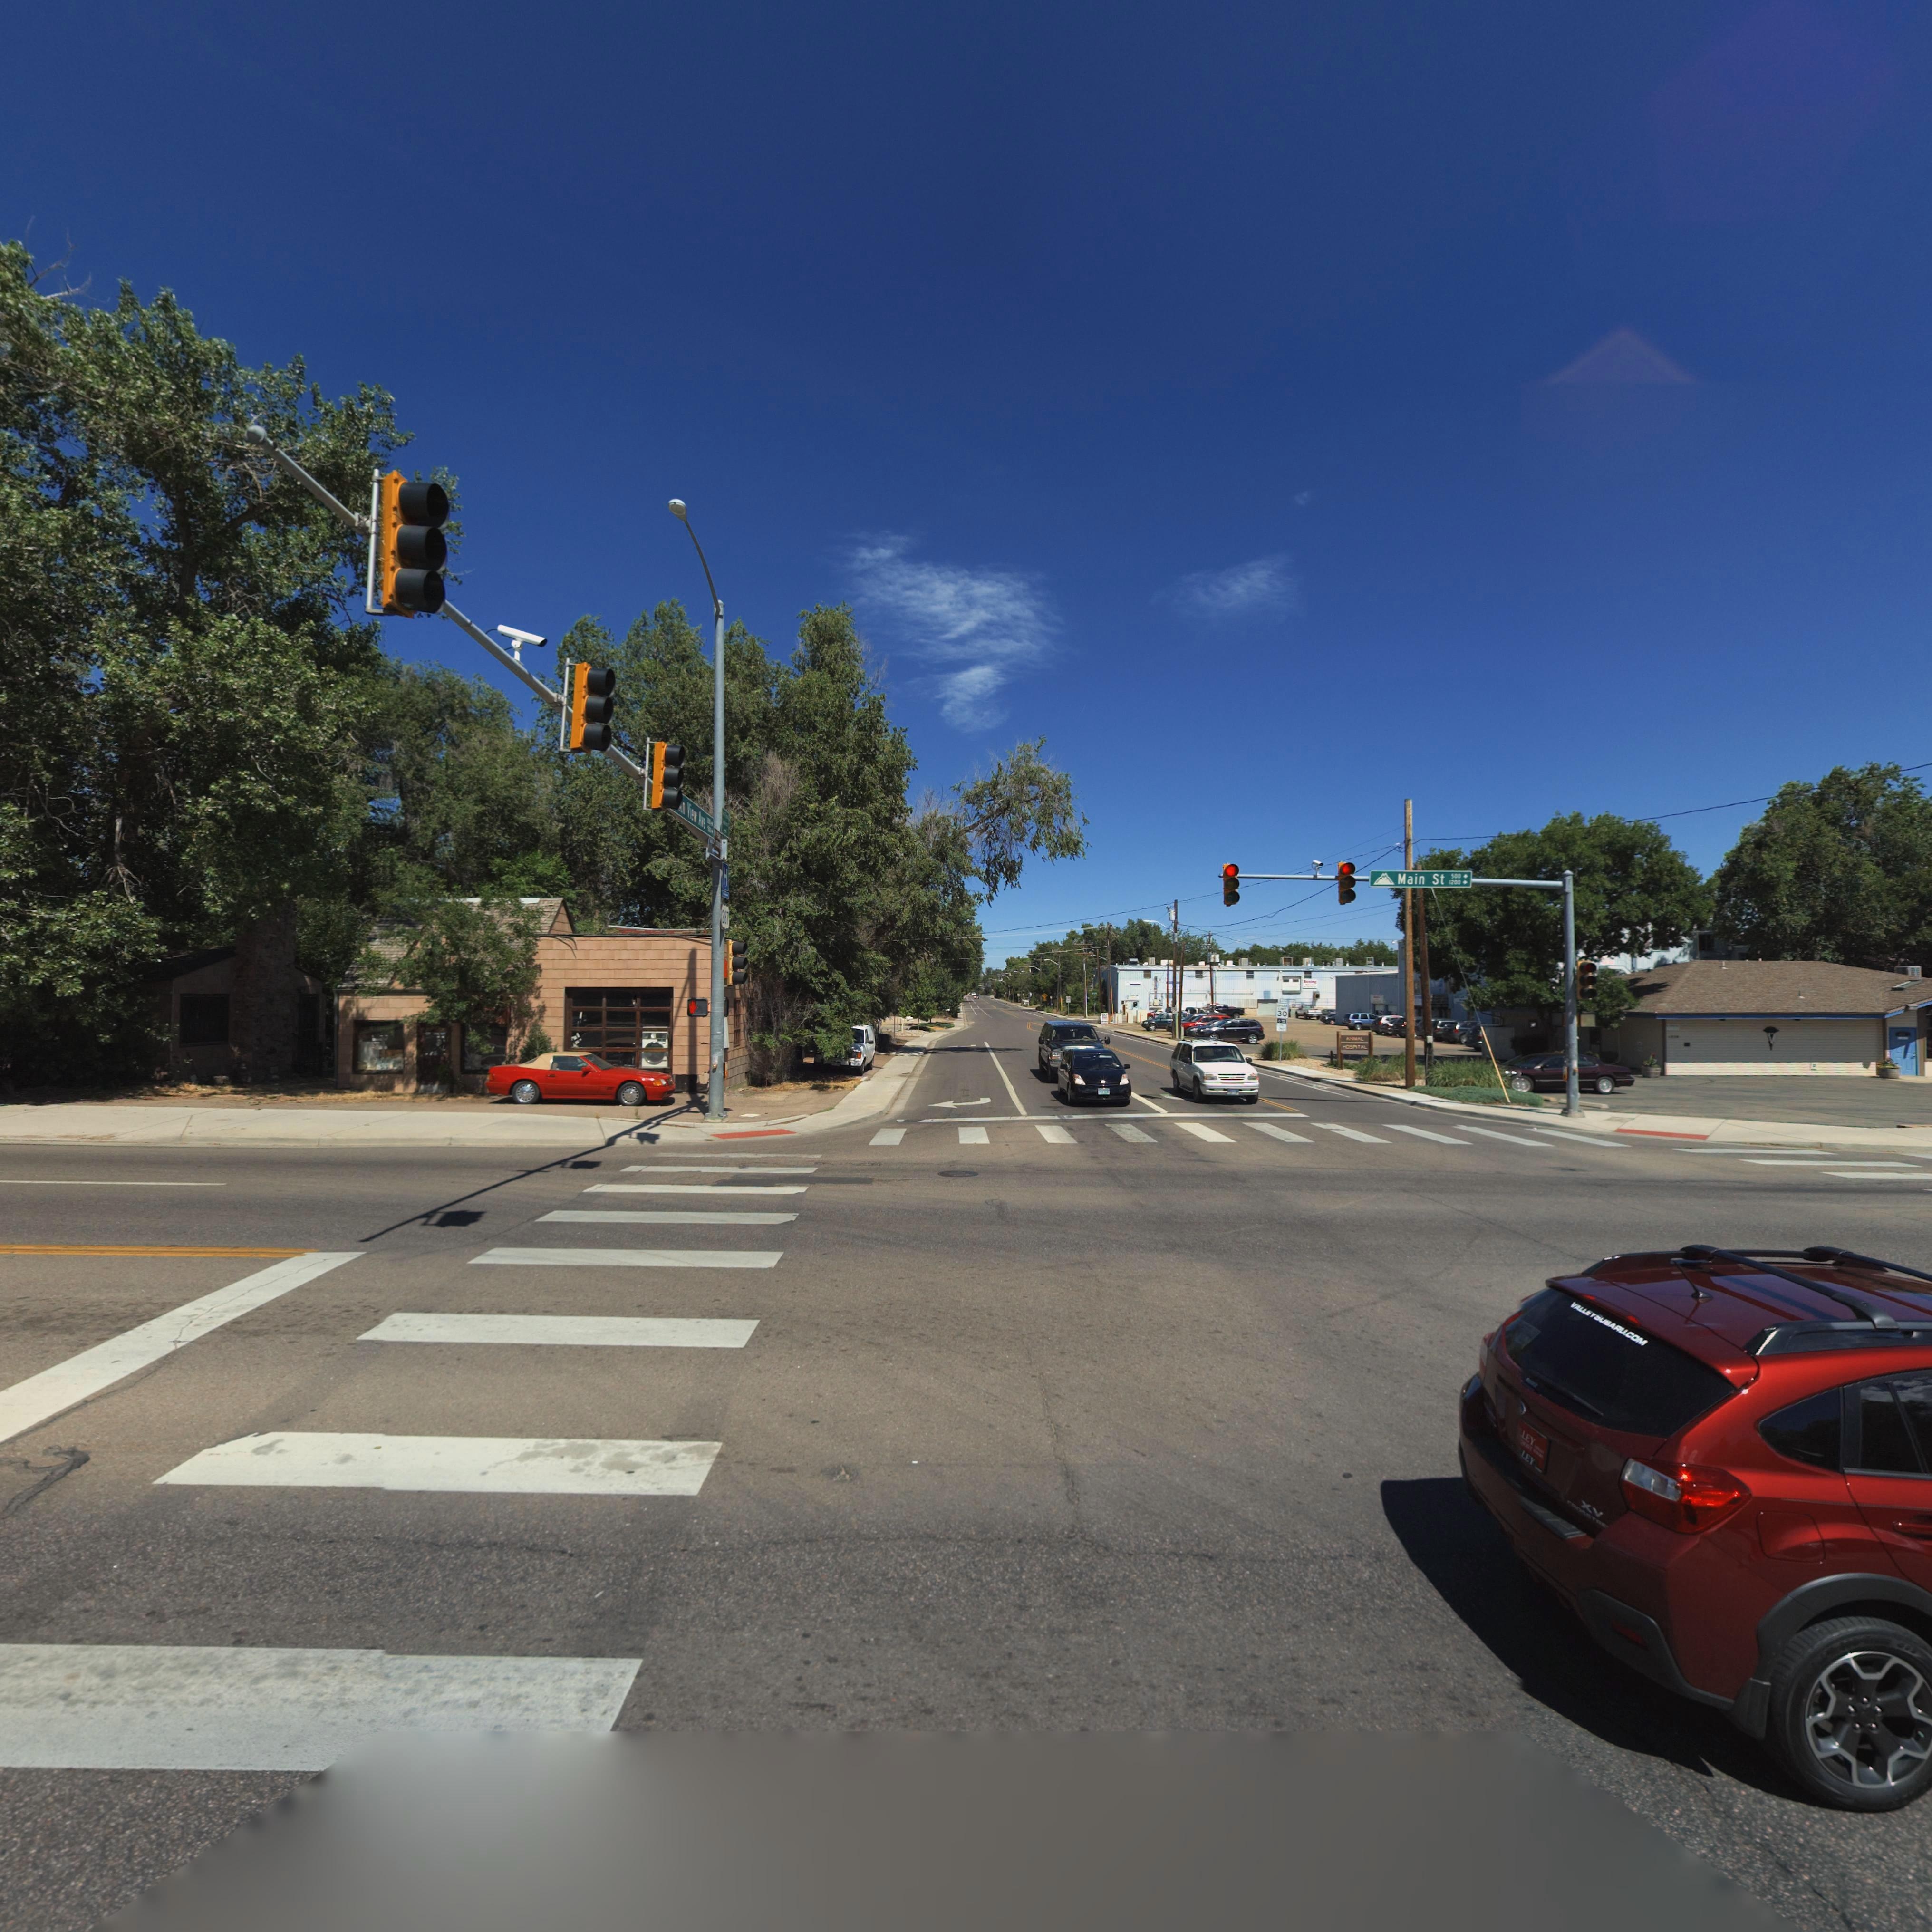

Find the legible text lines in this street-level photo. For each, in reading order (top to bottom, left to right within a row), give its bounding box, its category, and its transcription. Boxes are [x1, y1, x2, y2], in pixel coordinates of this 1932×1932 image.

[682, 800, 706, 830] StreetName: n View Ave
[707, 825, 712, 833] StreetNumberRange: 5**
[1397, 873, 1446, 885] StreetName: Main St
[1450, 873, 1461, 879] StreetNumberRange: 500
[1449, 879, 1468, 885] StreetNumberRange: 1200->